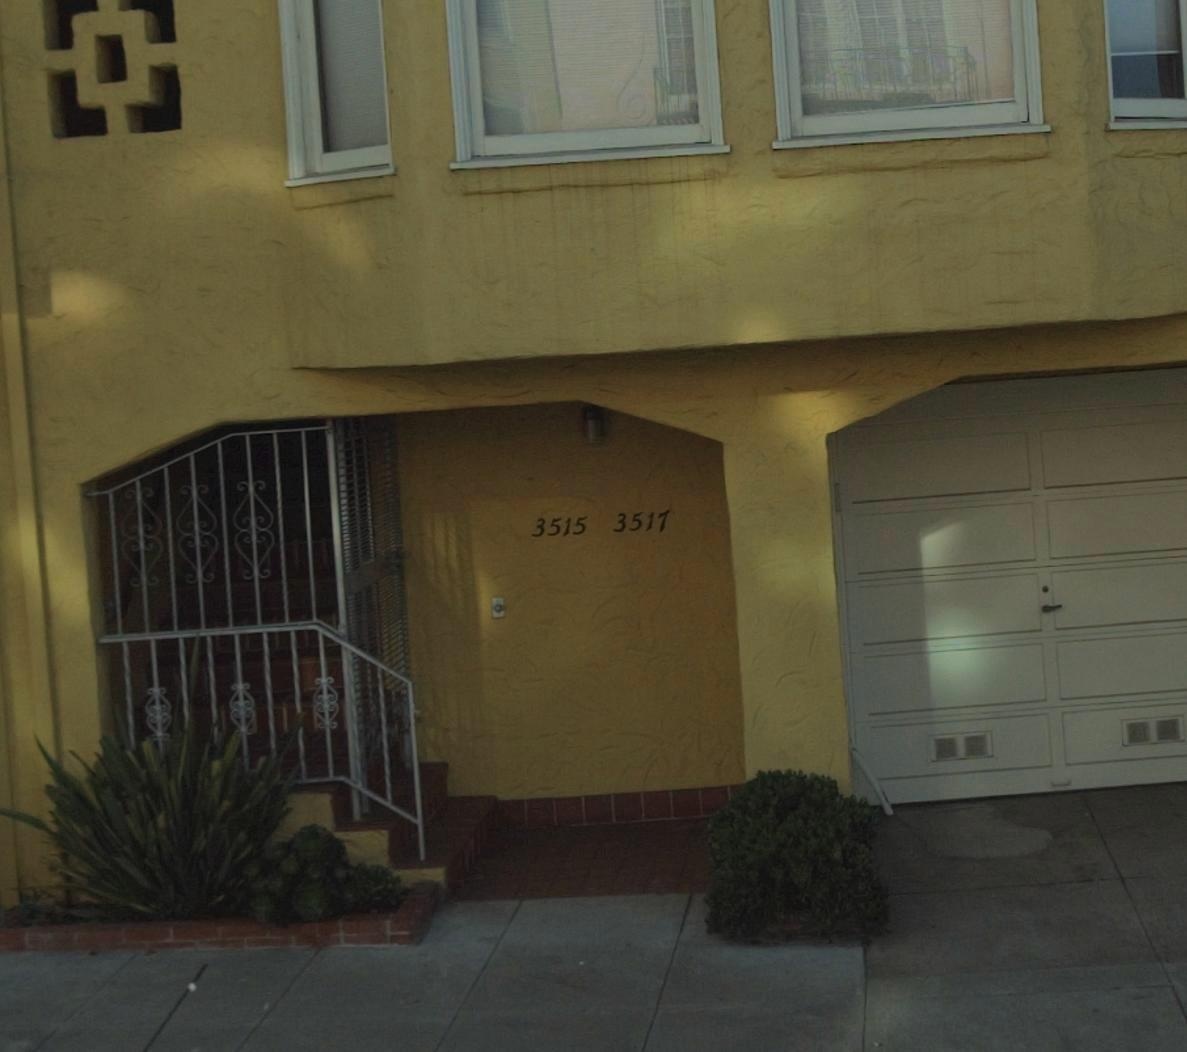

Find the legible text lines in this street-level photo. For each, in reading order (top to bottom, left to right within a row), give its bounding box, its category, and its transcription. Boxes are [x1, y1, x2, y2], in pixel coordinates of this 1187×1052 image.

[527, 513, 591, 540] StreetNumber: 3515
[609, 507, 673, 535] StreetNumber: 3517